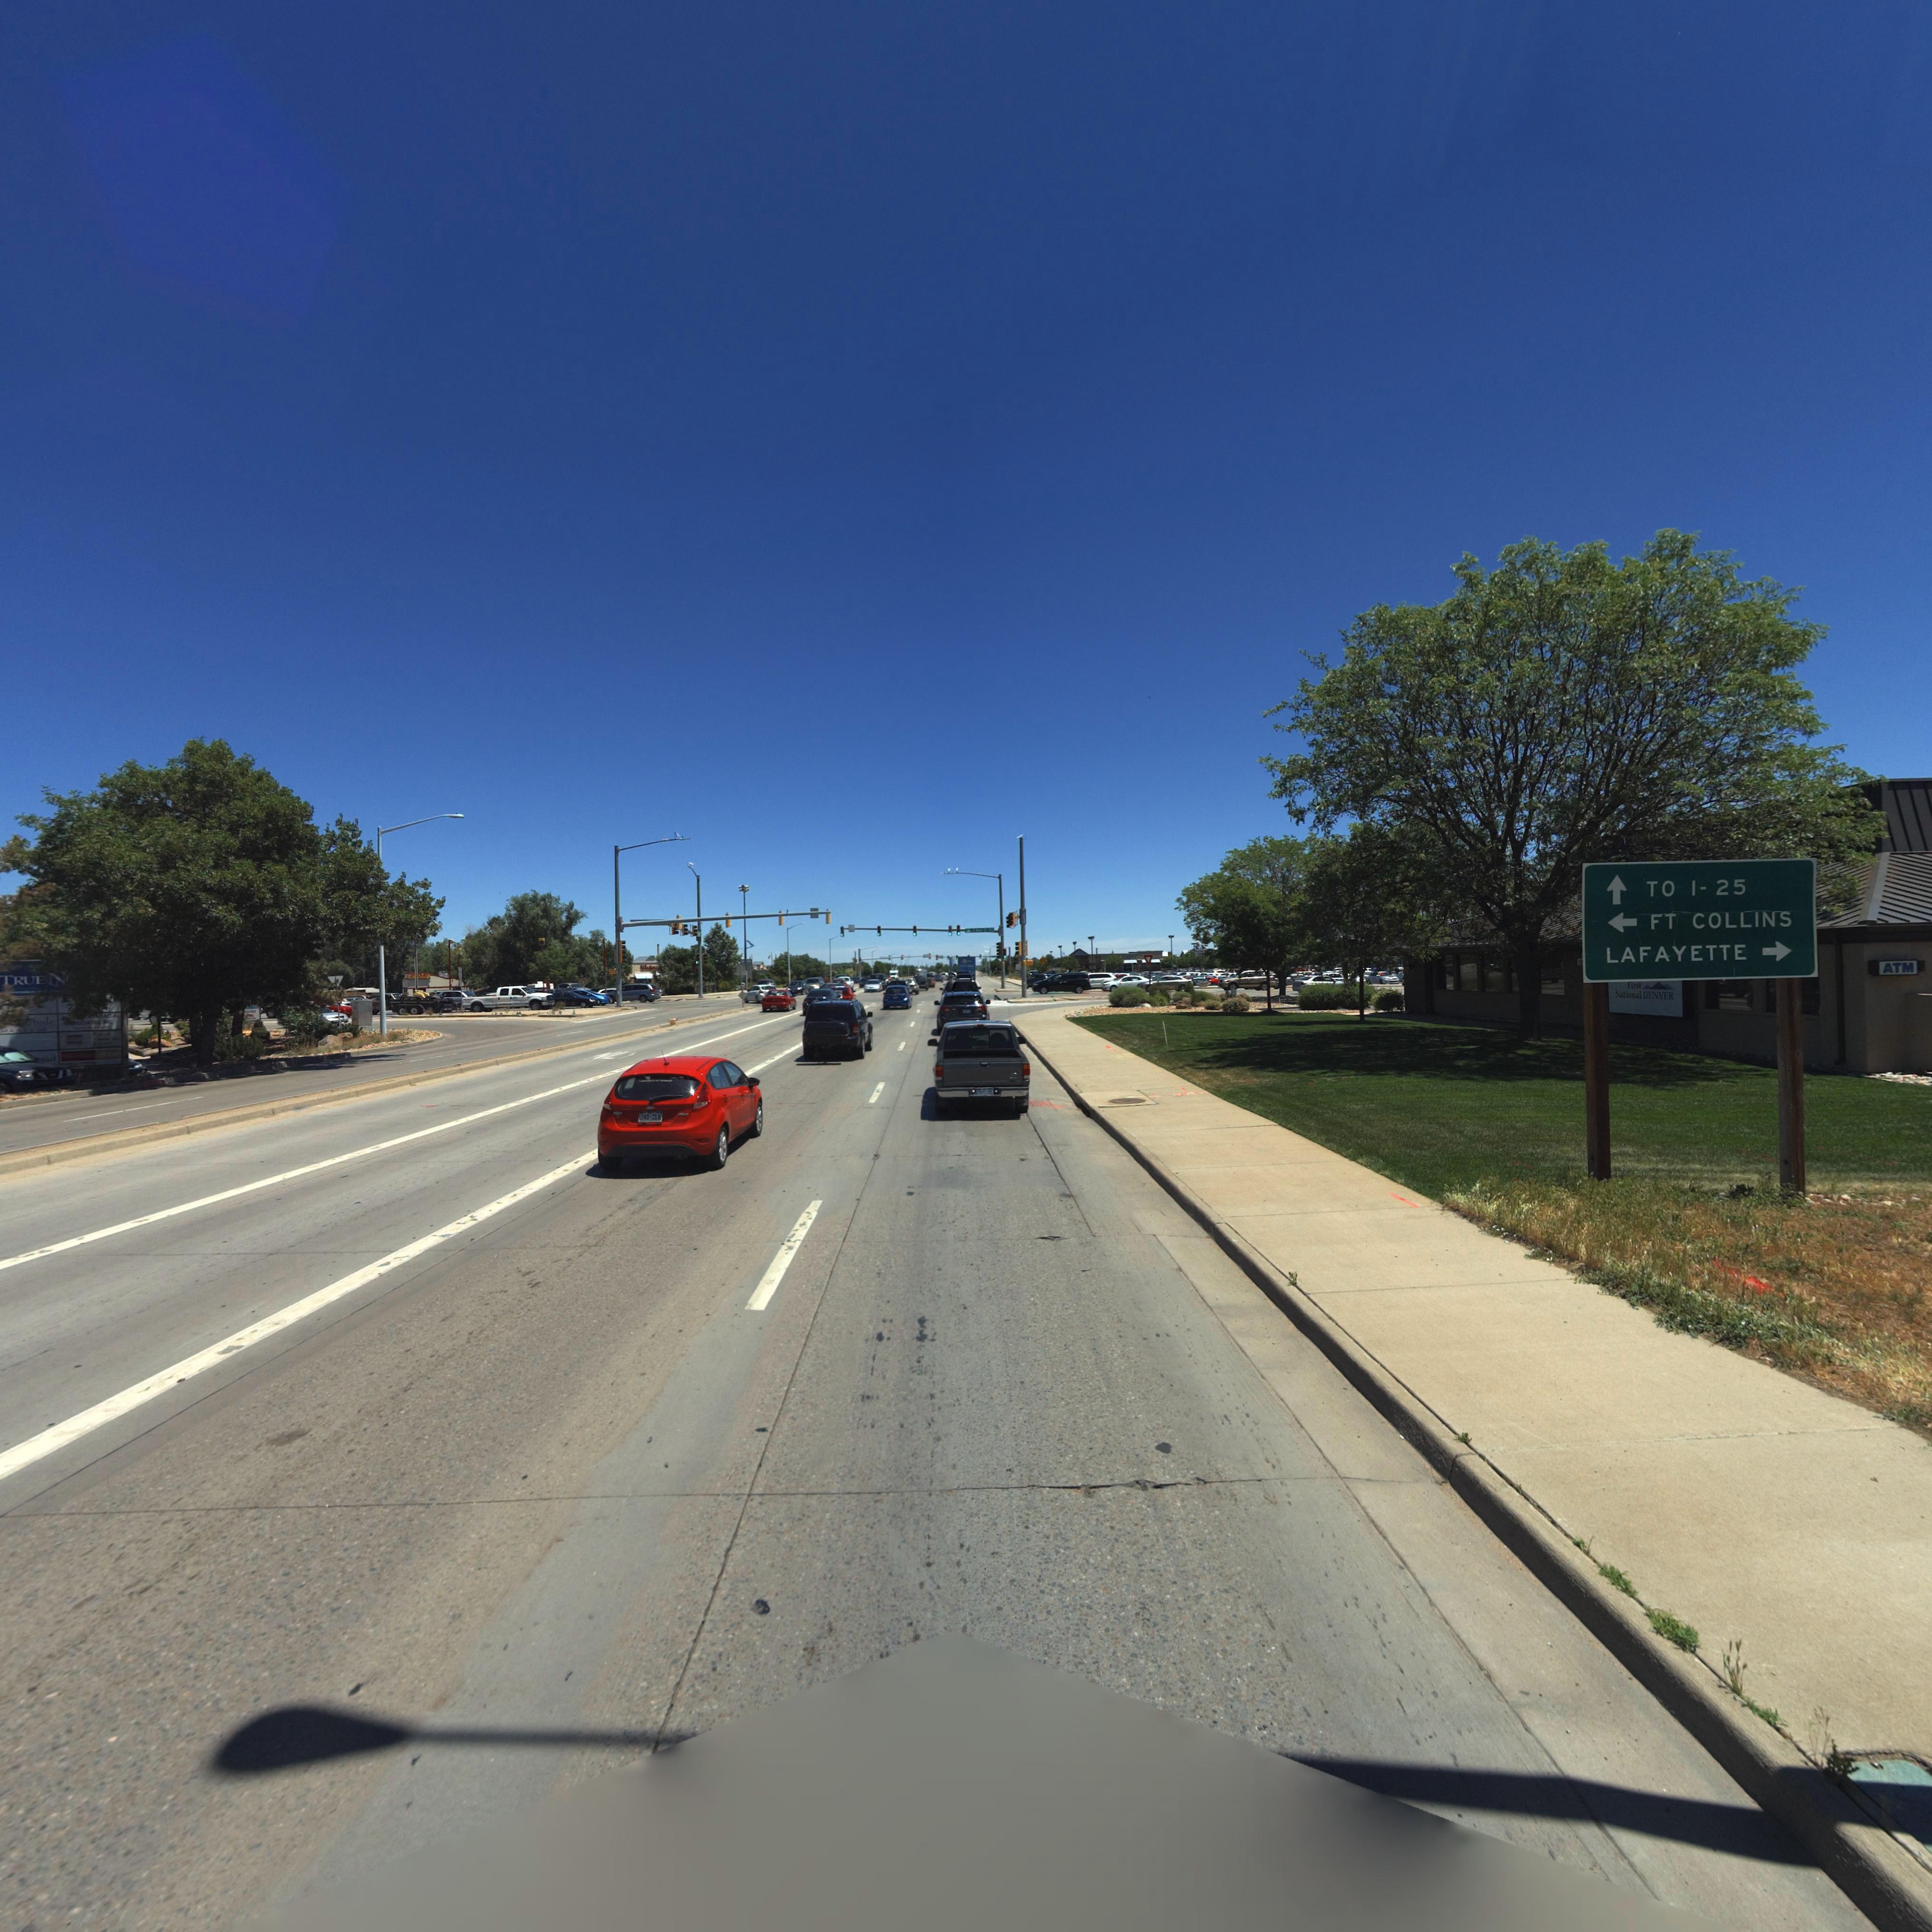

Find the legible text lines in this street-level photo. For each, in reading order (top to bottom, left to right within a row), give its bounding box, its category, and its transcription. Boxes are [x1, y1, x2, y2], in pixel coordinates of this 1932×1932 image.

[1626, 981, 1642, 990] BusinessName: First
[1614, 989, 1675, 1000] BusinessName: National DENVER